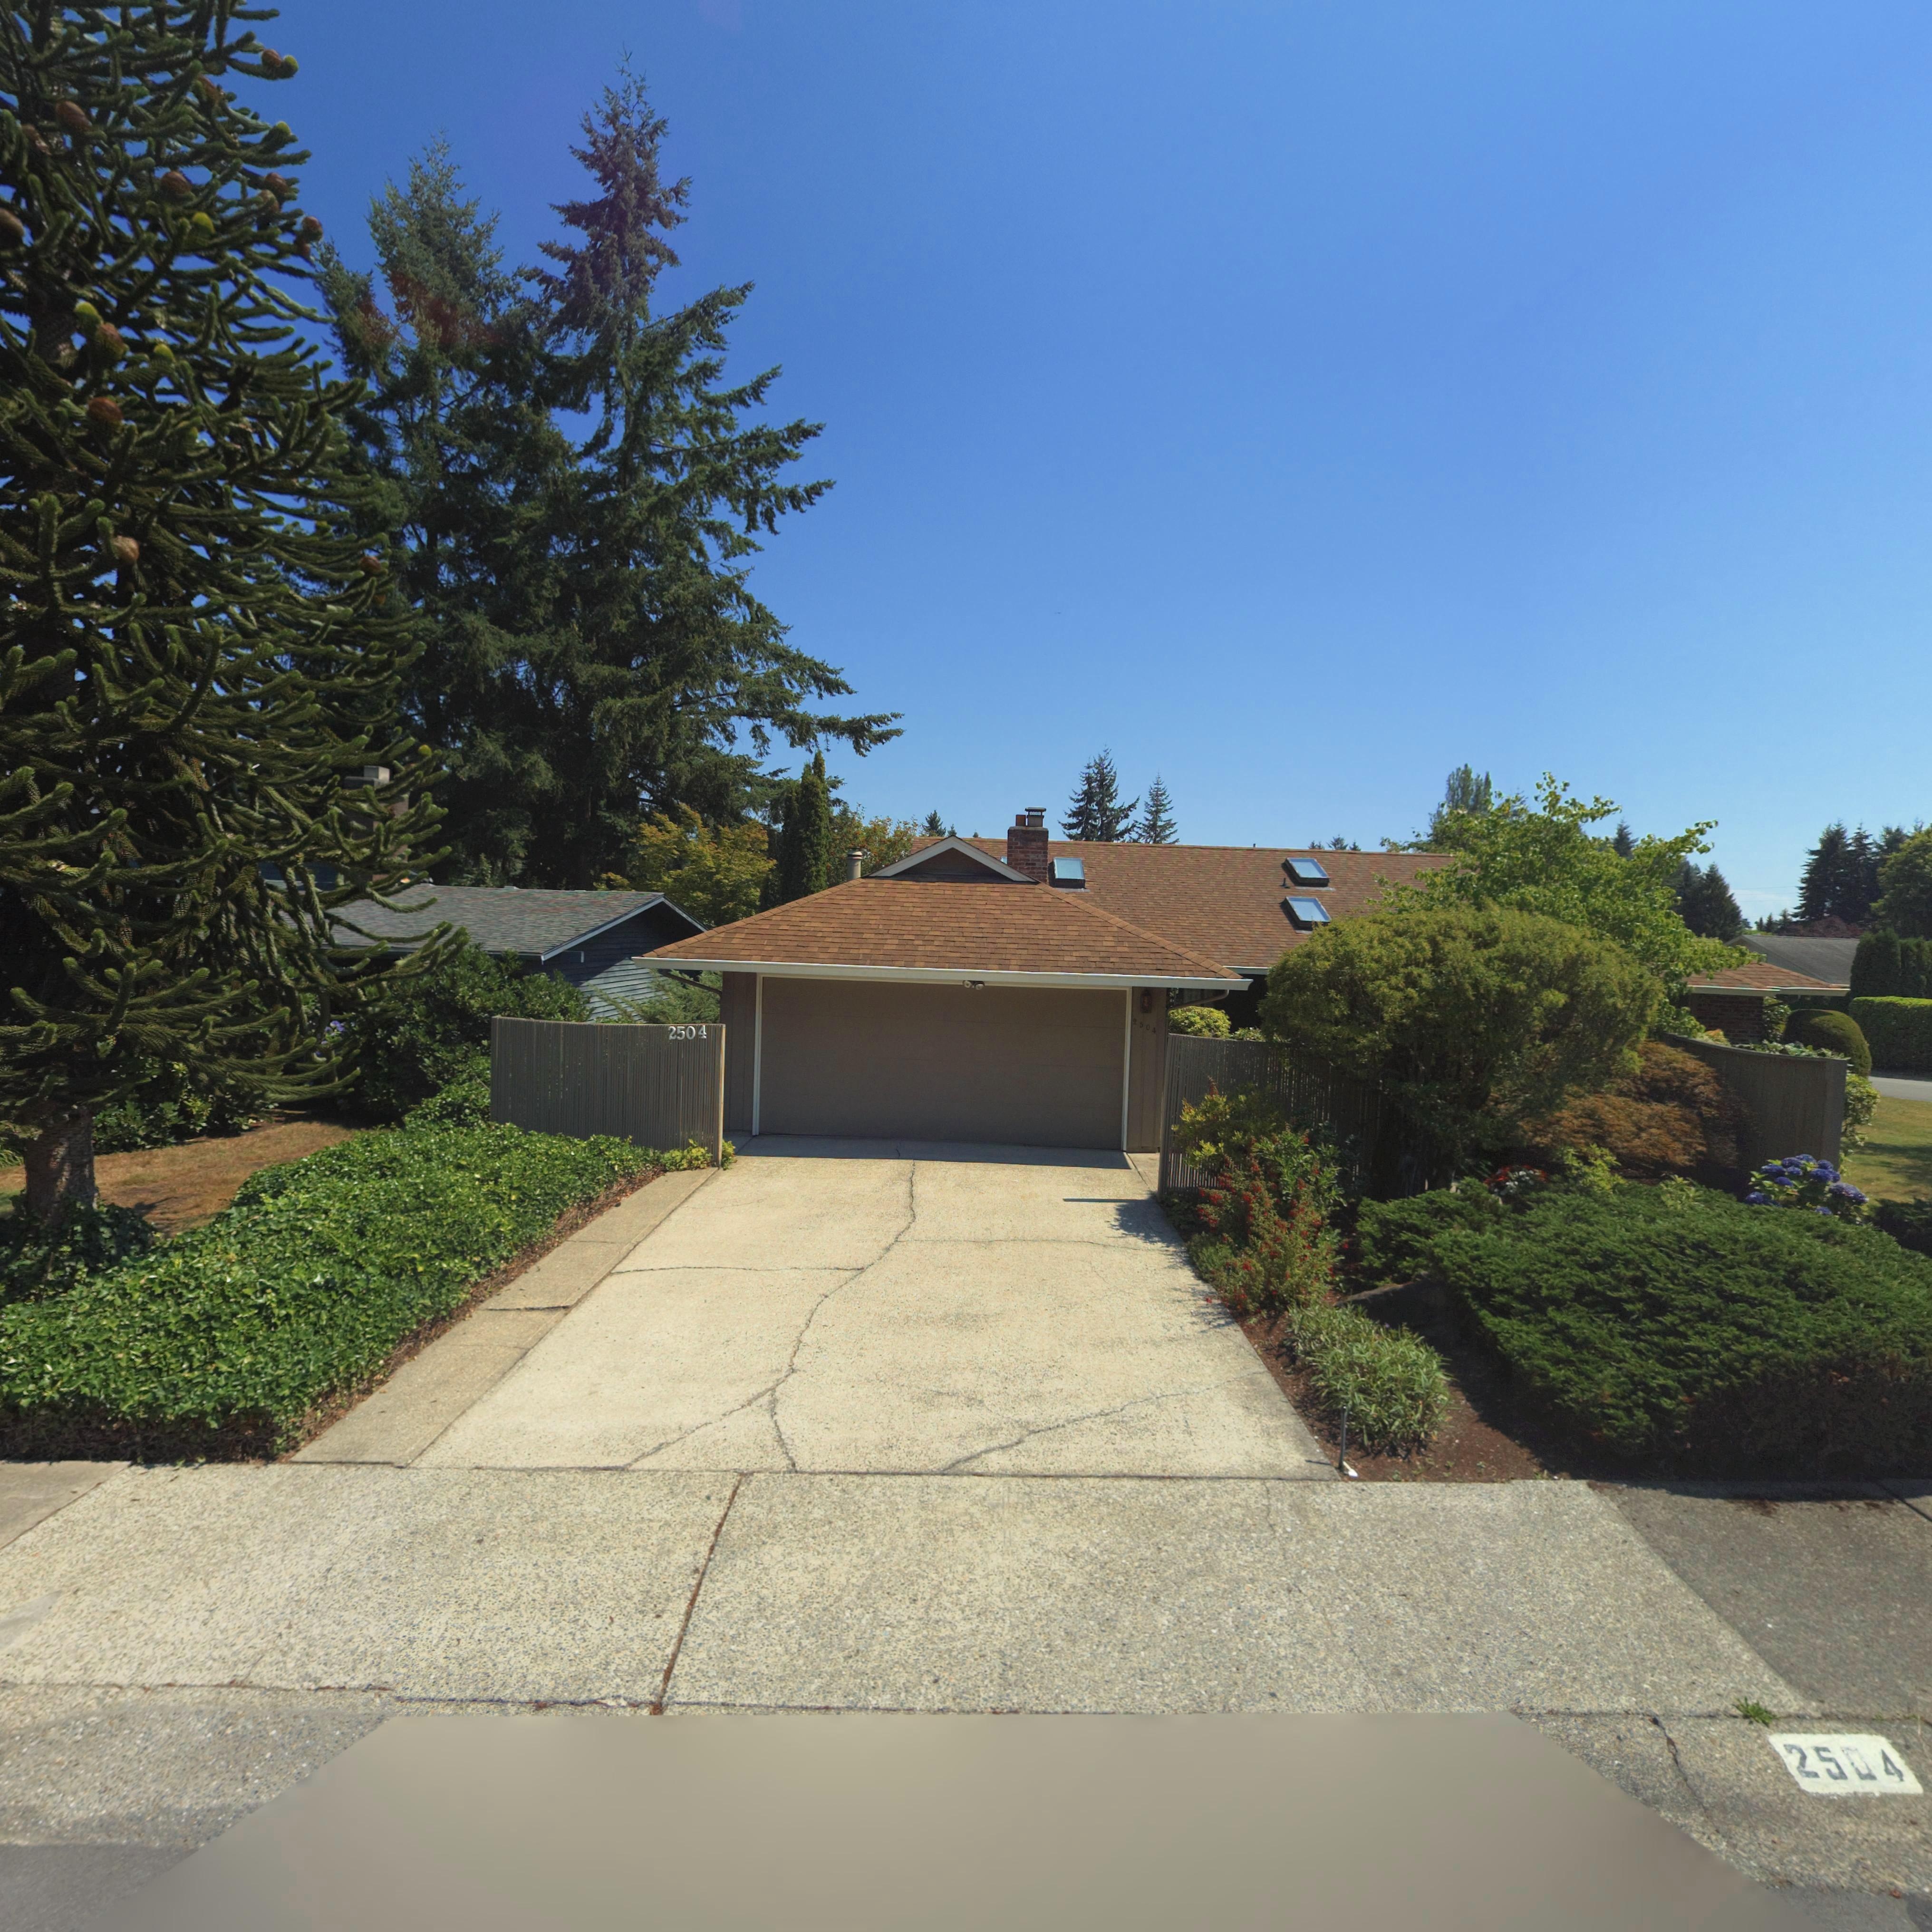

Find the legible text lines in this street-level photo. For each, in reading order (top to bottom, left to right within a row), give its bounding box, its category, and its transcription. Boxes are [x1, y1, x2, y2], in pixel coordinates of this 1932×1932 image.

[668, 1025, 706, 1040] StreetNumber: 2504